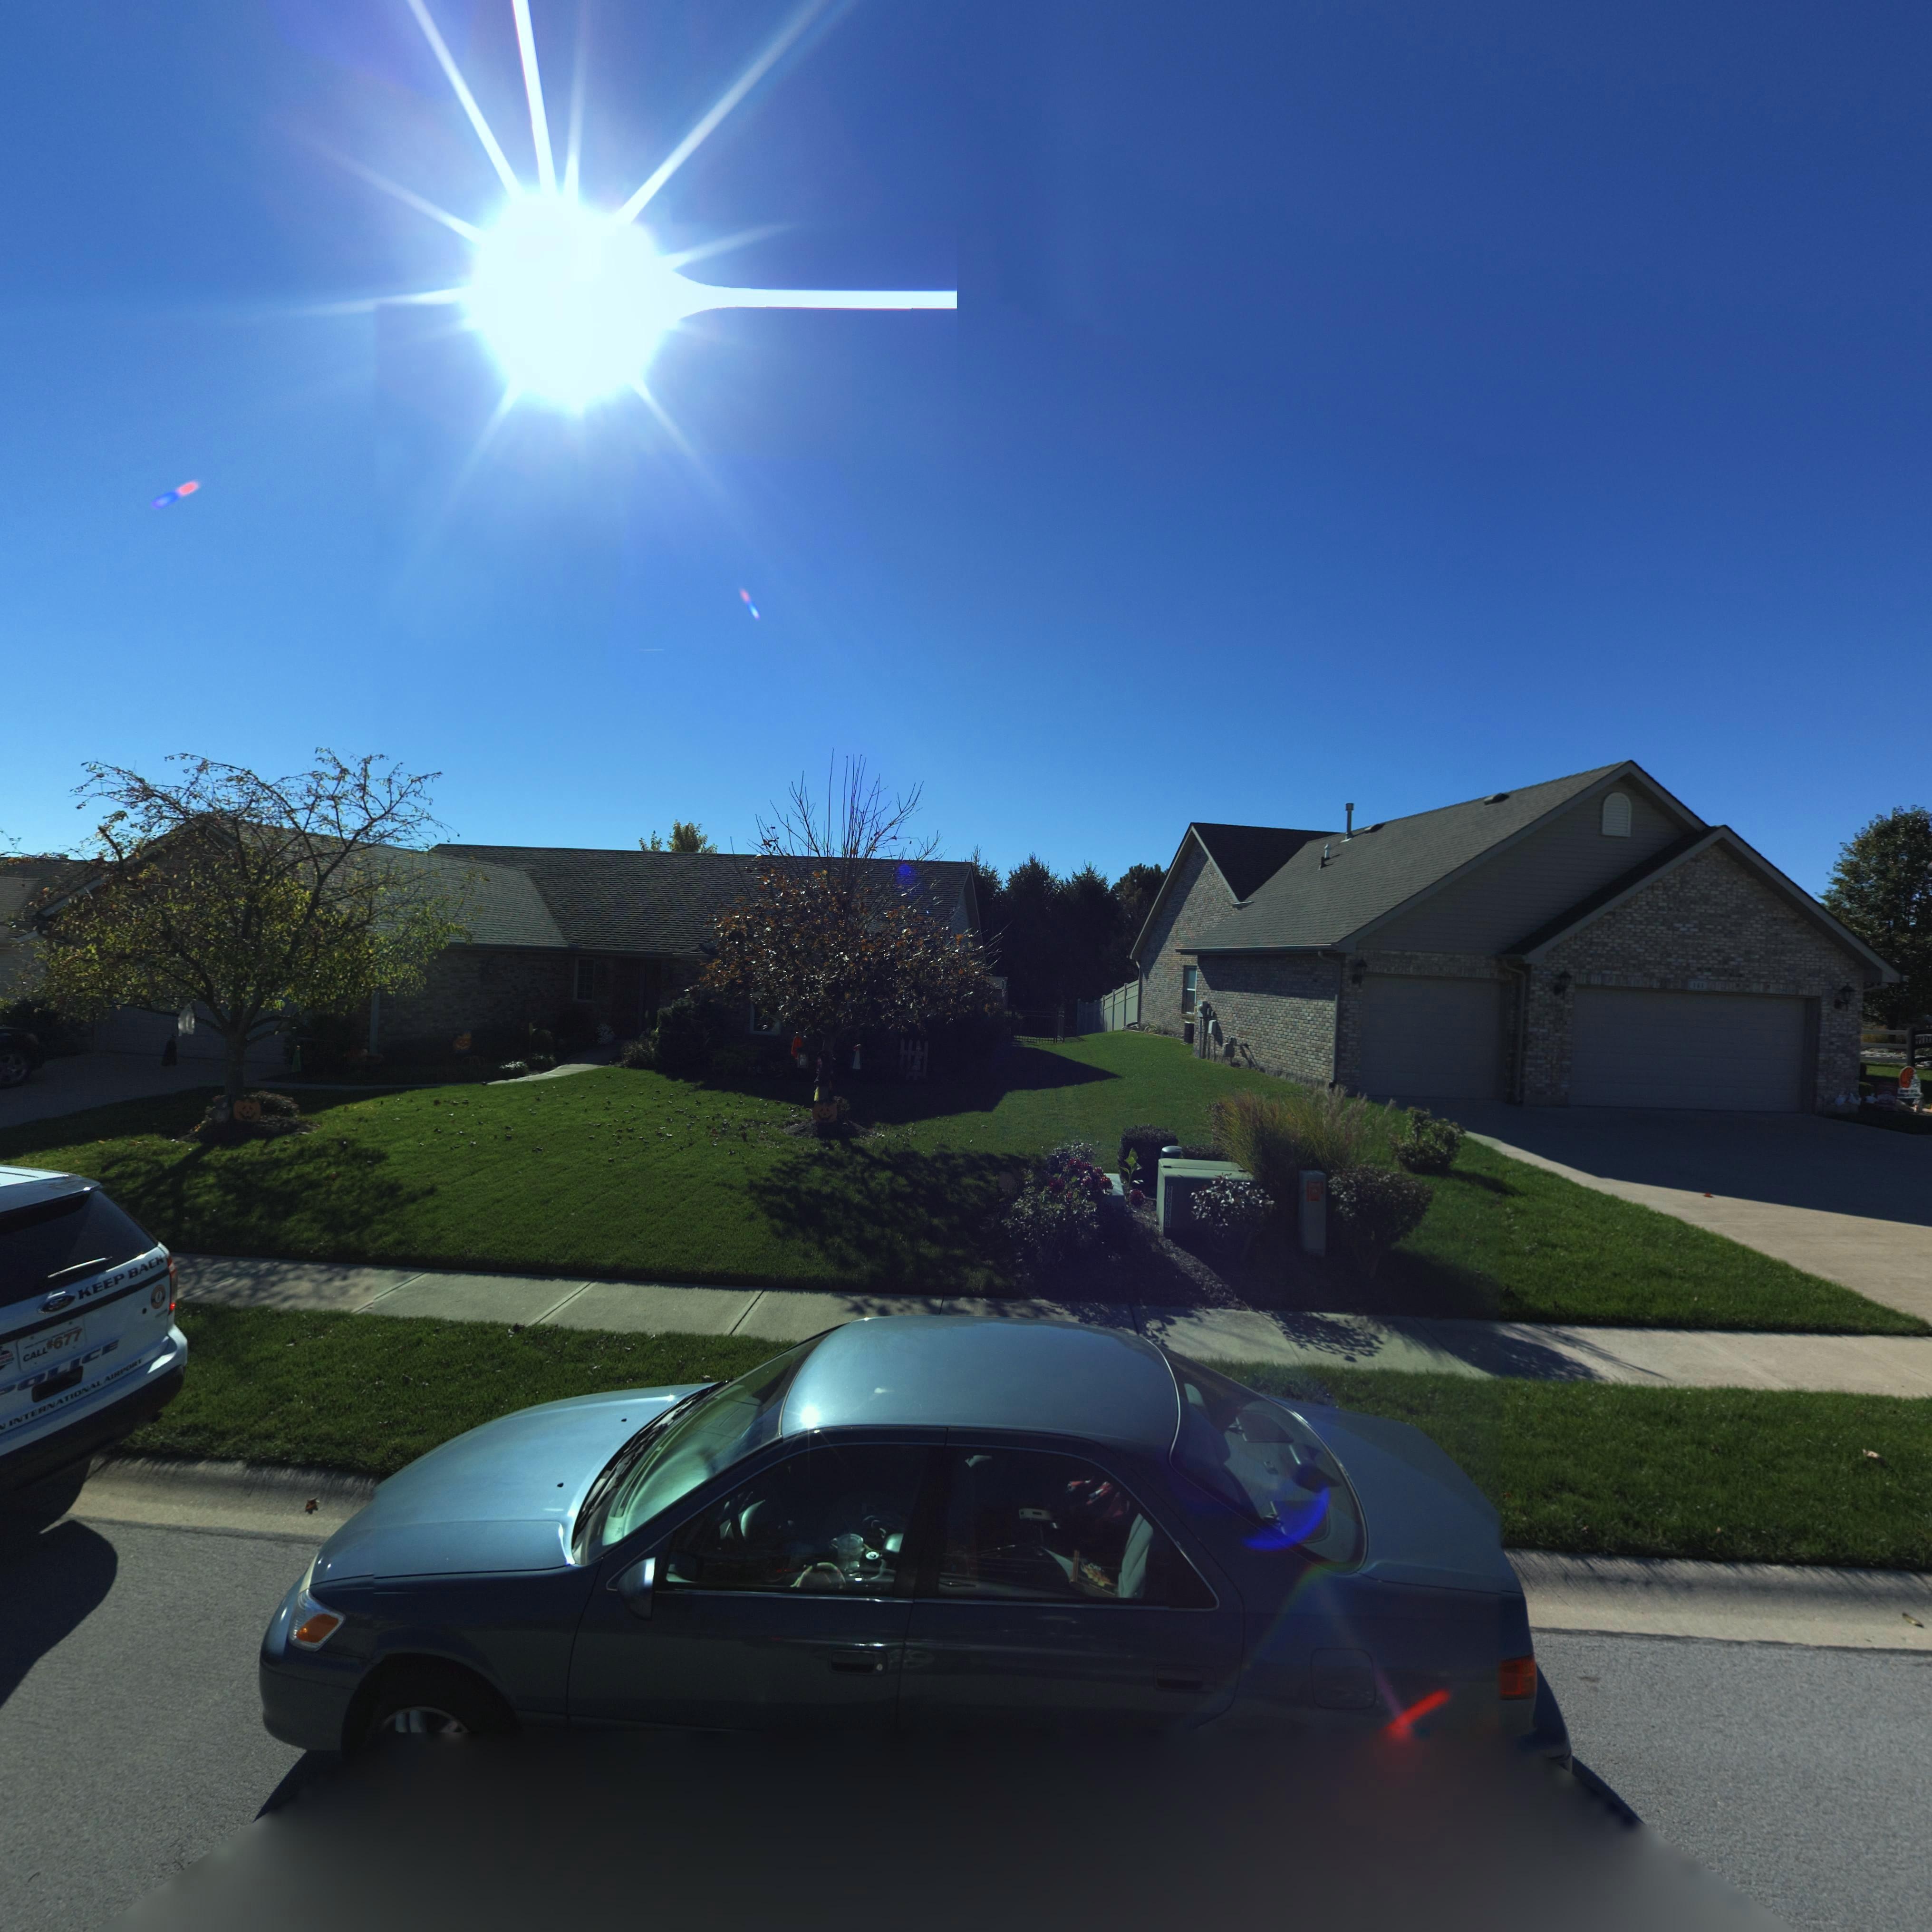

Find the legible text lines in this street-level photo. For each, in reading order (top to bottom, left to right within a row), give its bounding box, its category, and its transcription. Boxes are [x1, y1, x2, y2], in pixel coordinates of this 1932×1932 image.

[1692, 982, 1704, 989] StreetNumber: 1*1
[76, 1252, 166, 1302] None: KEEP BACK
[19, 1325, 82, 1365] None: CALL 677
[14, 1336, 119, 1395] None: OLICE
[6, 1354, 143, 1431] None: INTERNATIONAL AIRPORT